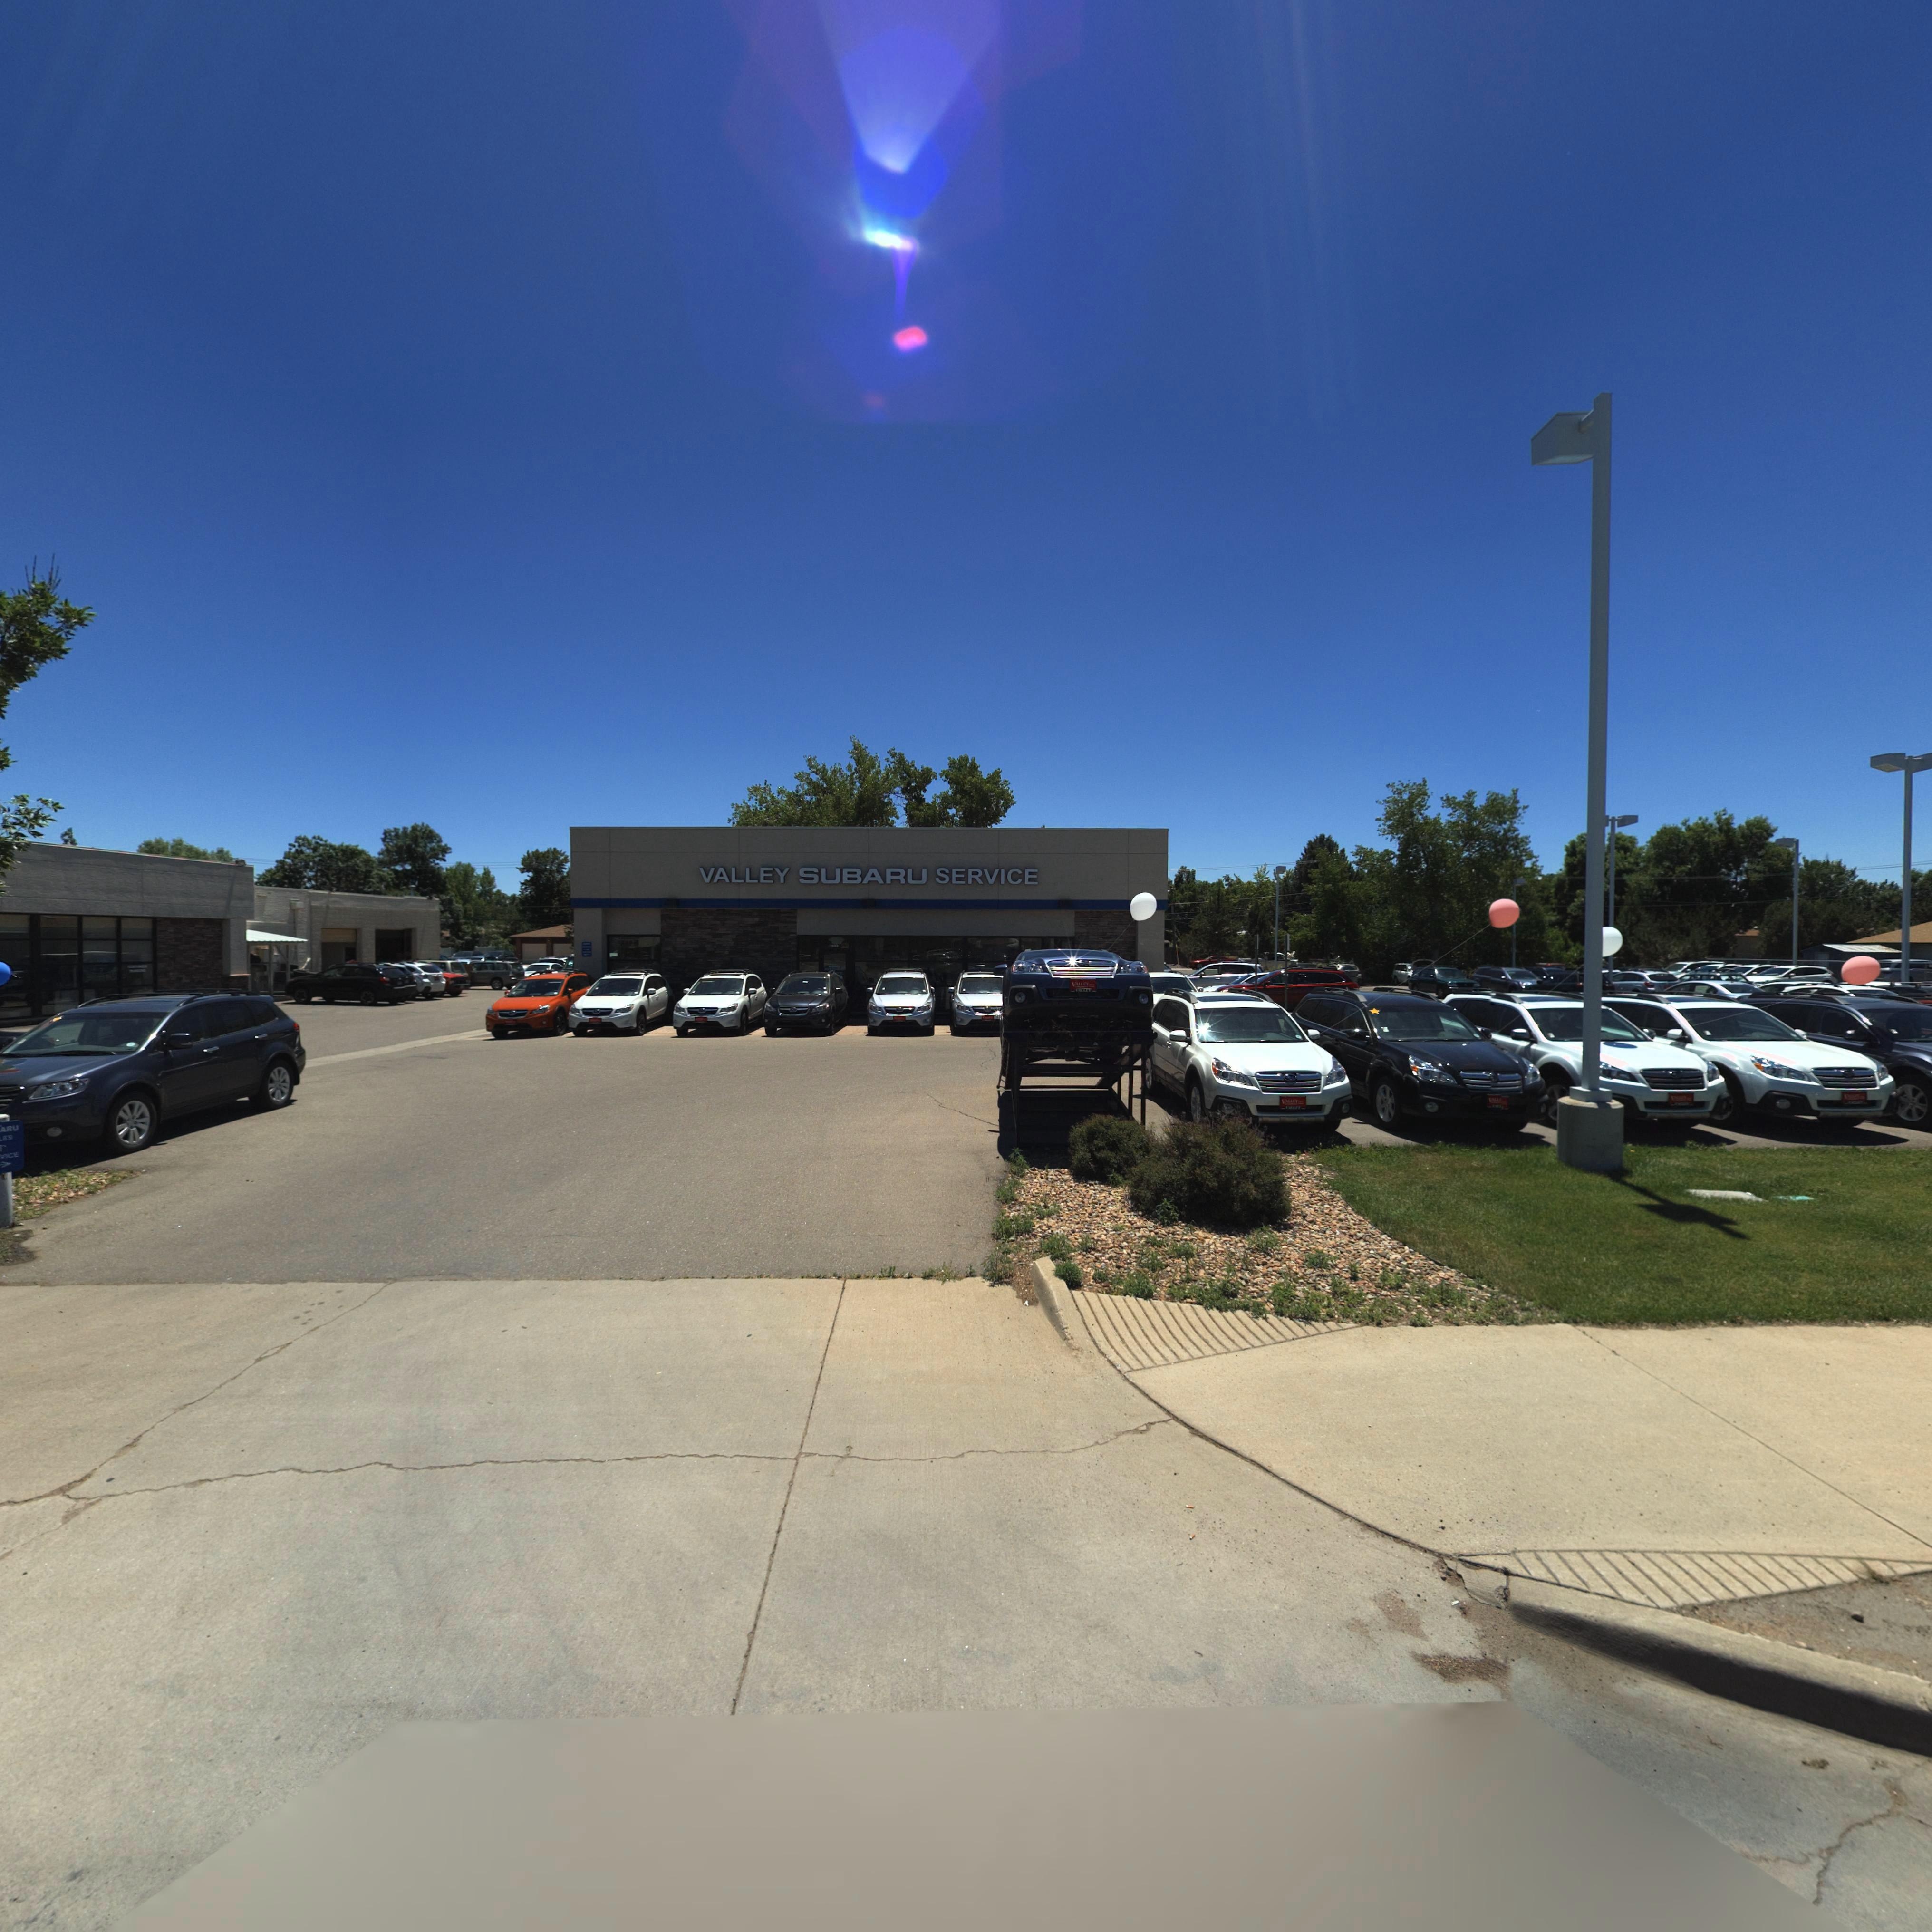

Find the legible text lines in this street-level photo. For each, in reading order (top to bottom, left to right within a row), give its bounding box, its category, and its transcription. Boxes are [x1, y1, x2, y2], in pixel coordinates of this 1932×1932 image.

[697, 867, 1038, 886] BusinessName: VALLEY SUBARU SERVICE